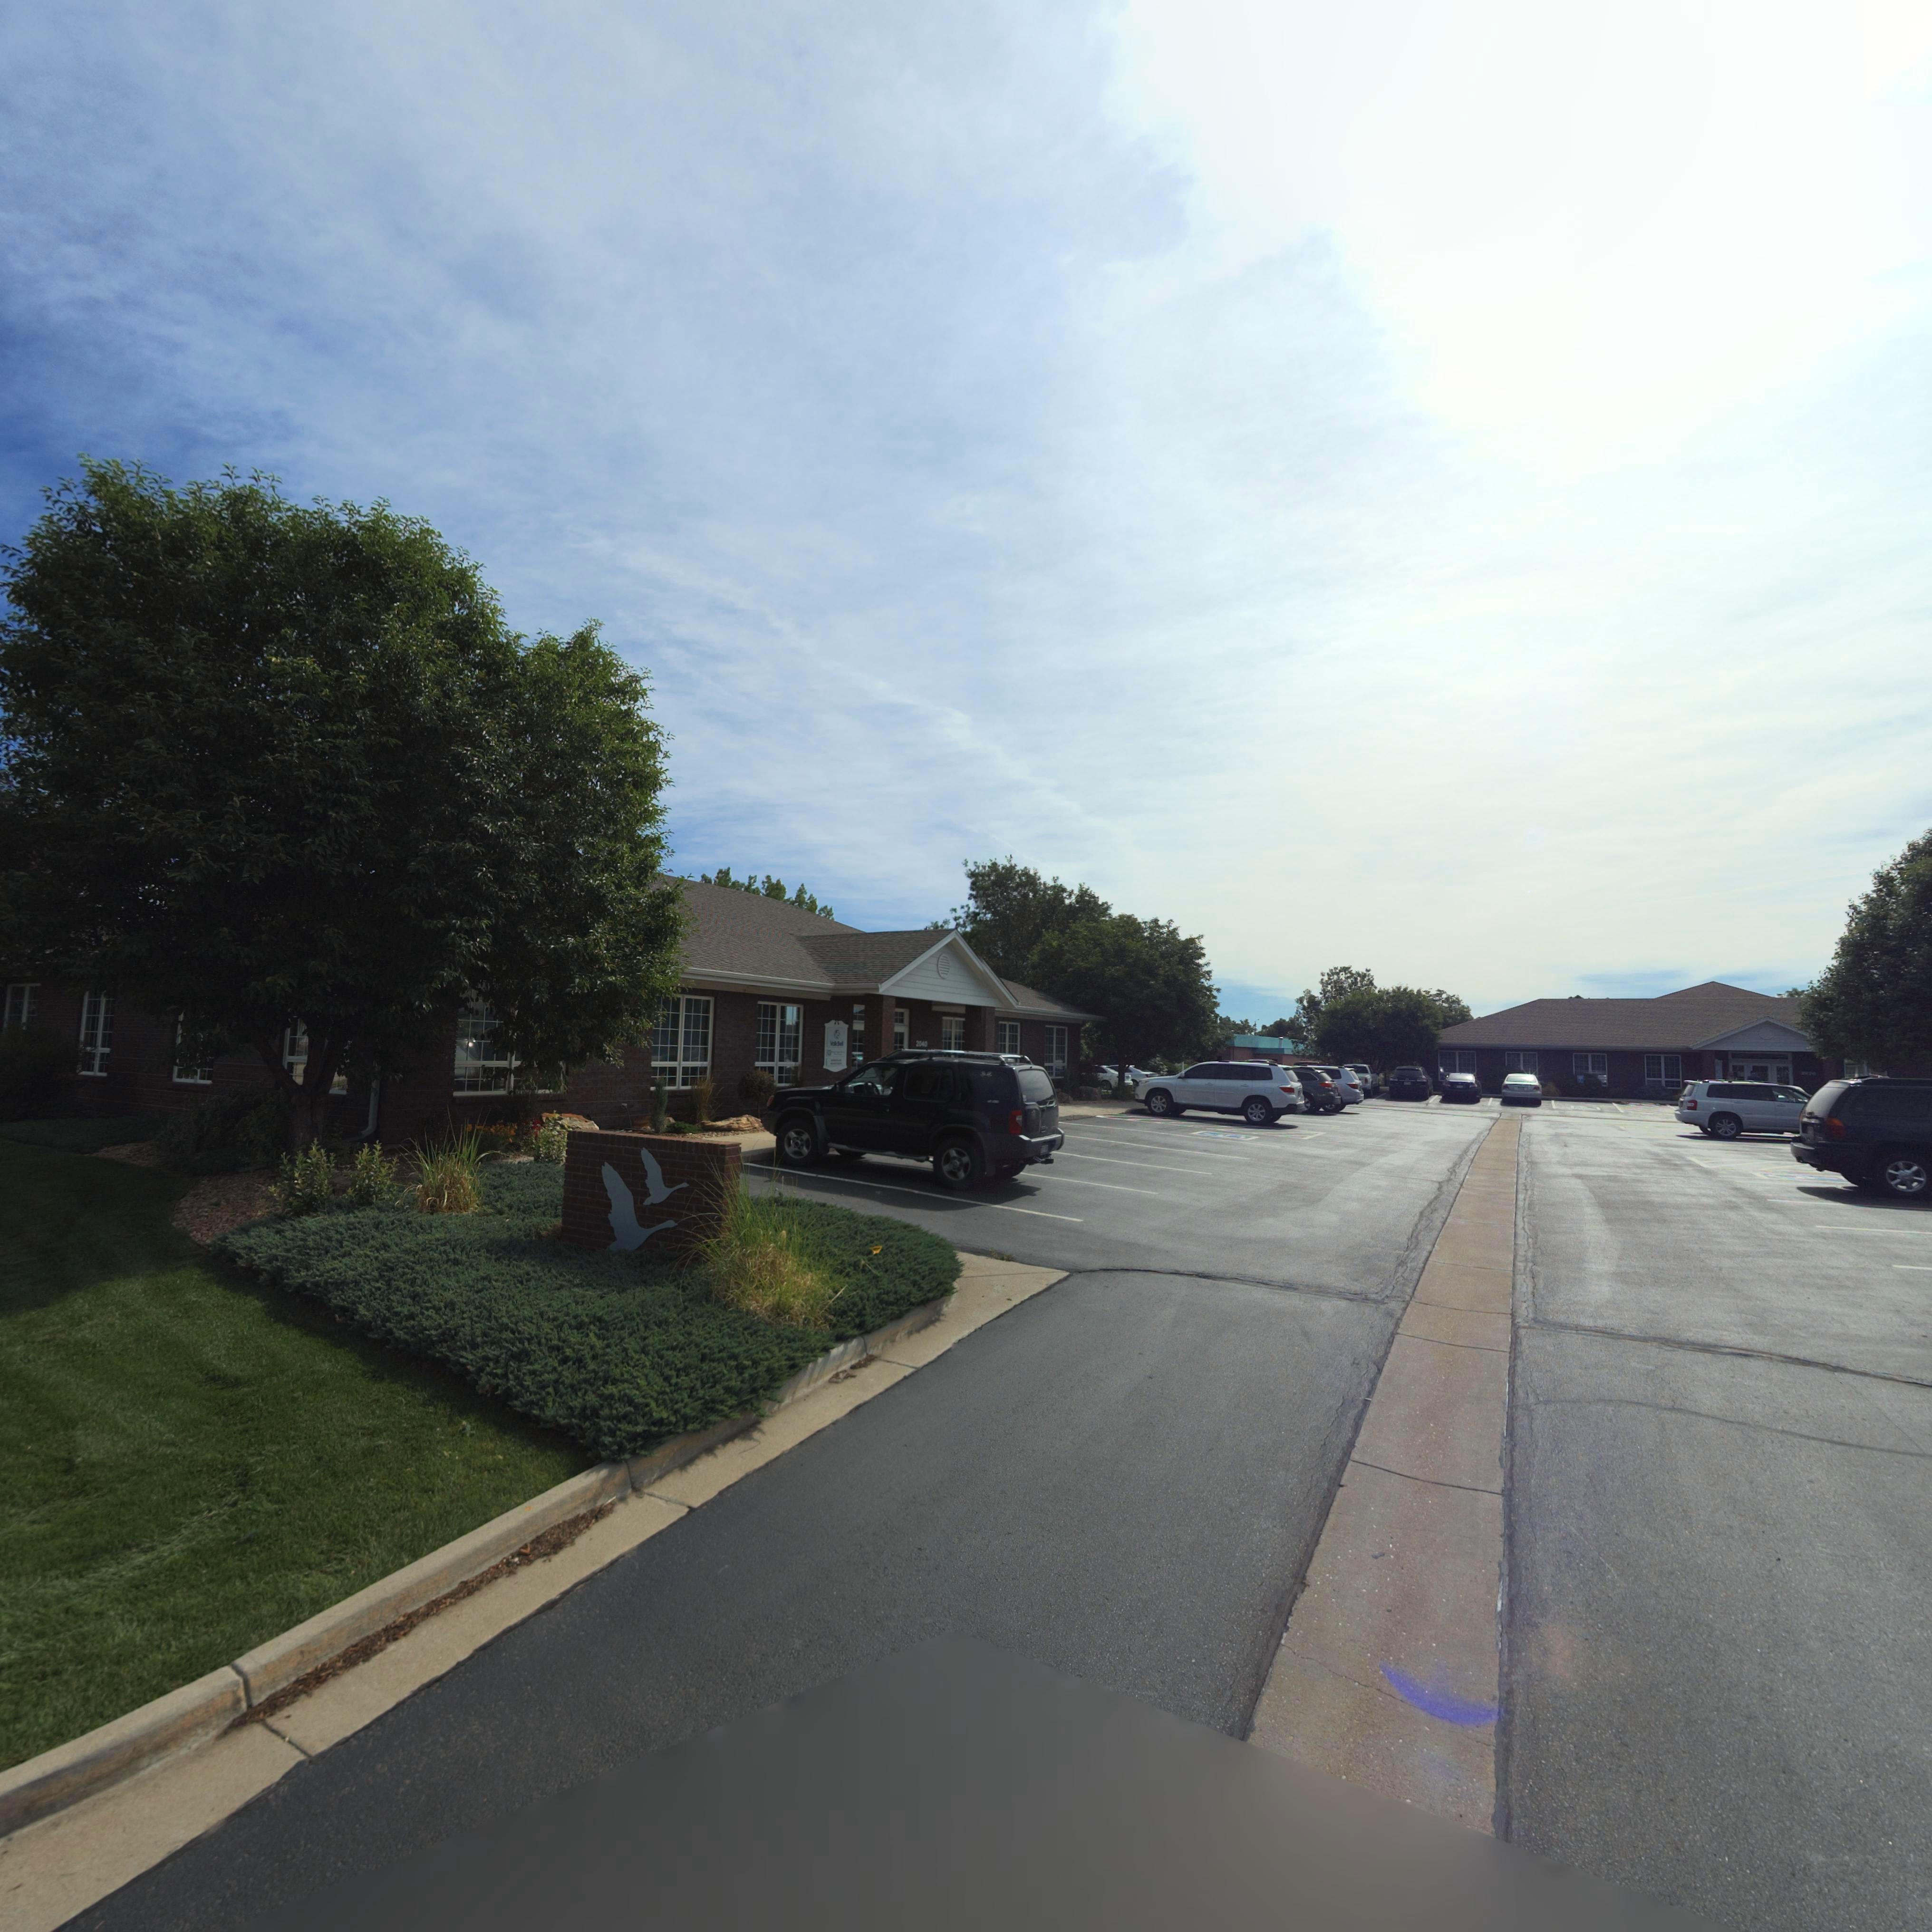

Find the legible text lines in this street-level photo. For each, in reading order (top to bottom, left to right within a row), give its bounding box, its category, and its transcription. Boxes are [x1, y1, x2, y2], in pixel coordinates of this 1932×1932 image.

[833, 1030, 840, 1039] BusinessName: VB
[830, 1040, 844, 1046] BusinessName: Vo** B***
[915, 1040, 927, 1047] StreetNumber: 2040